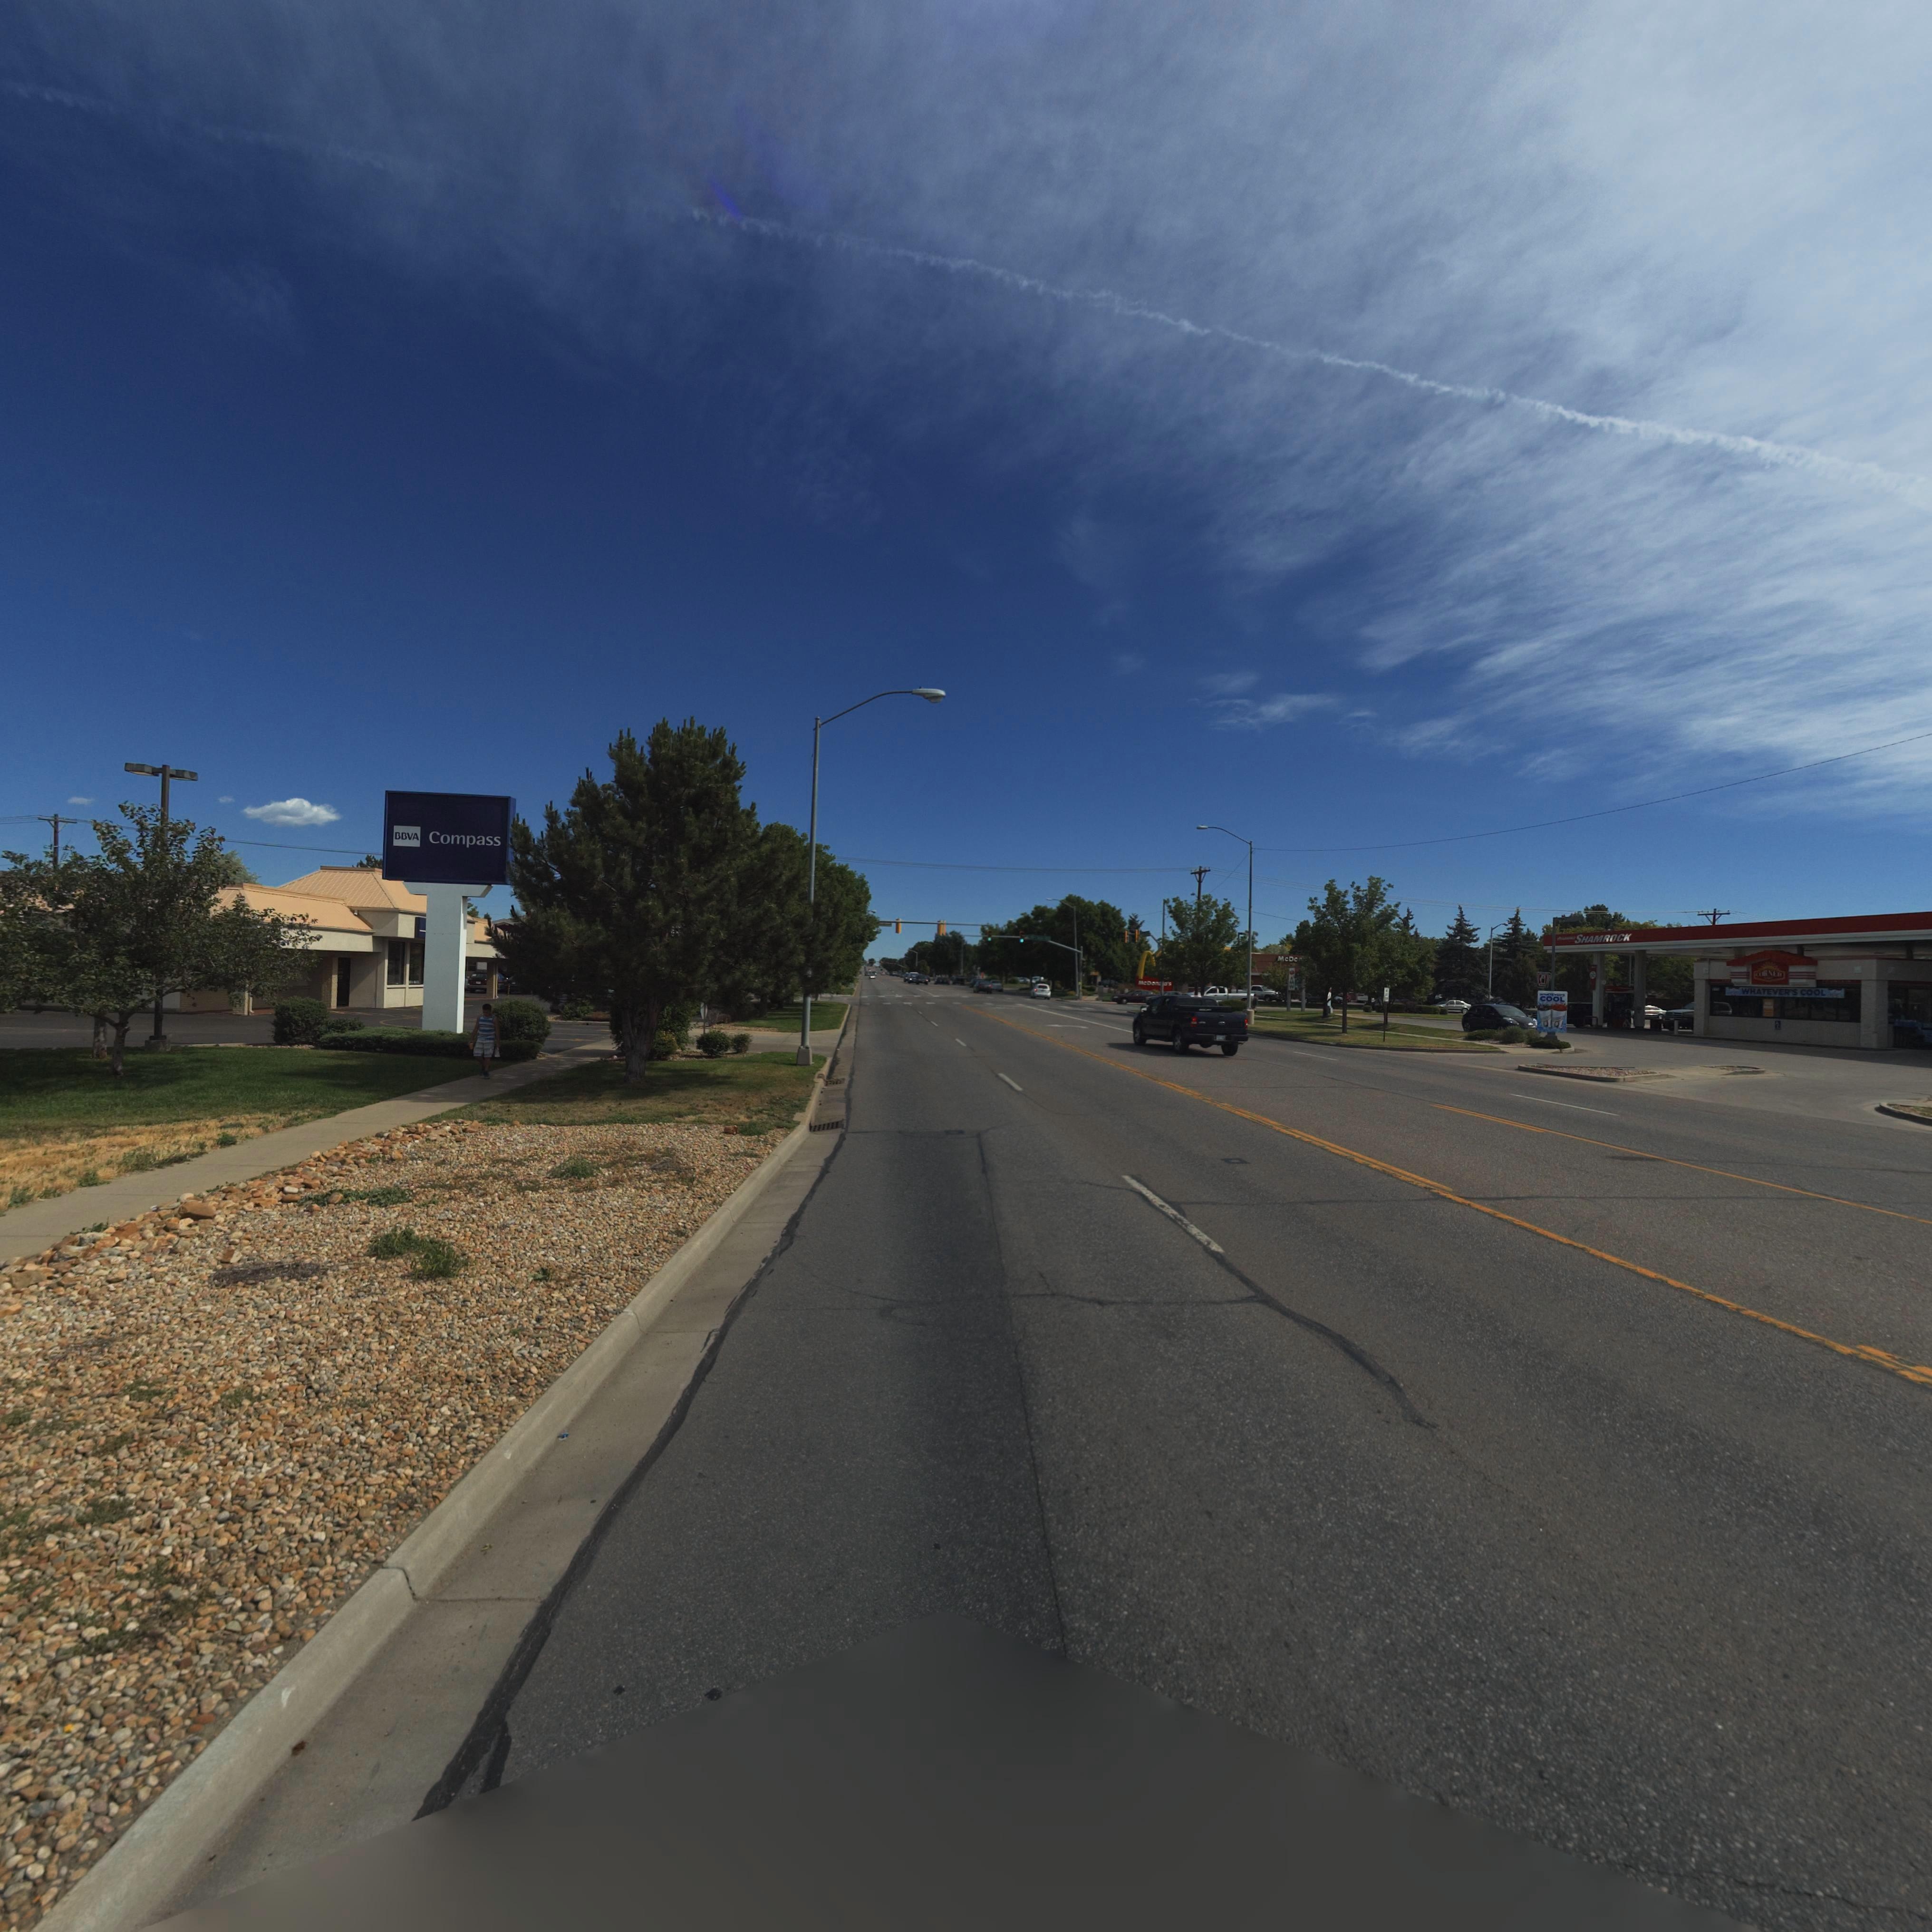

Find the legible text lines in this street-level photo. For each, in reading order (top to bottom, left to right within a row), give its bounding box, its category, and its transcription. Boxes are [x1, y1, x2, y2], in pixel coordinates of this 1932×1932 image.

[428, 831, 501, 848] BusinessName: Compass
[1574, 933, 1633, 944] BusinessName: SHAMROCK
[1277, 956, 1298, 962] BusinessName: McDo
[1755, 969, 1782, 977] BusinessName: ***NER
[1138, 980, 1171, 986] BusinessName: McDon****